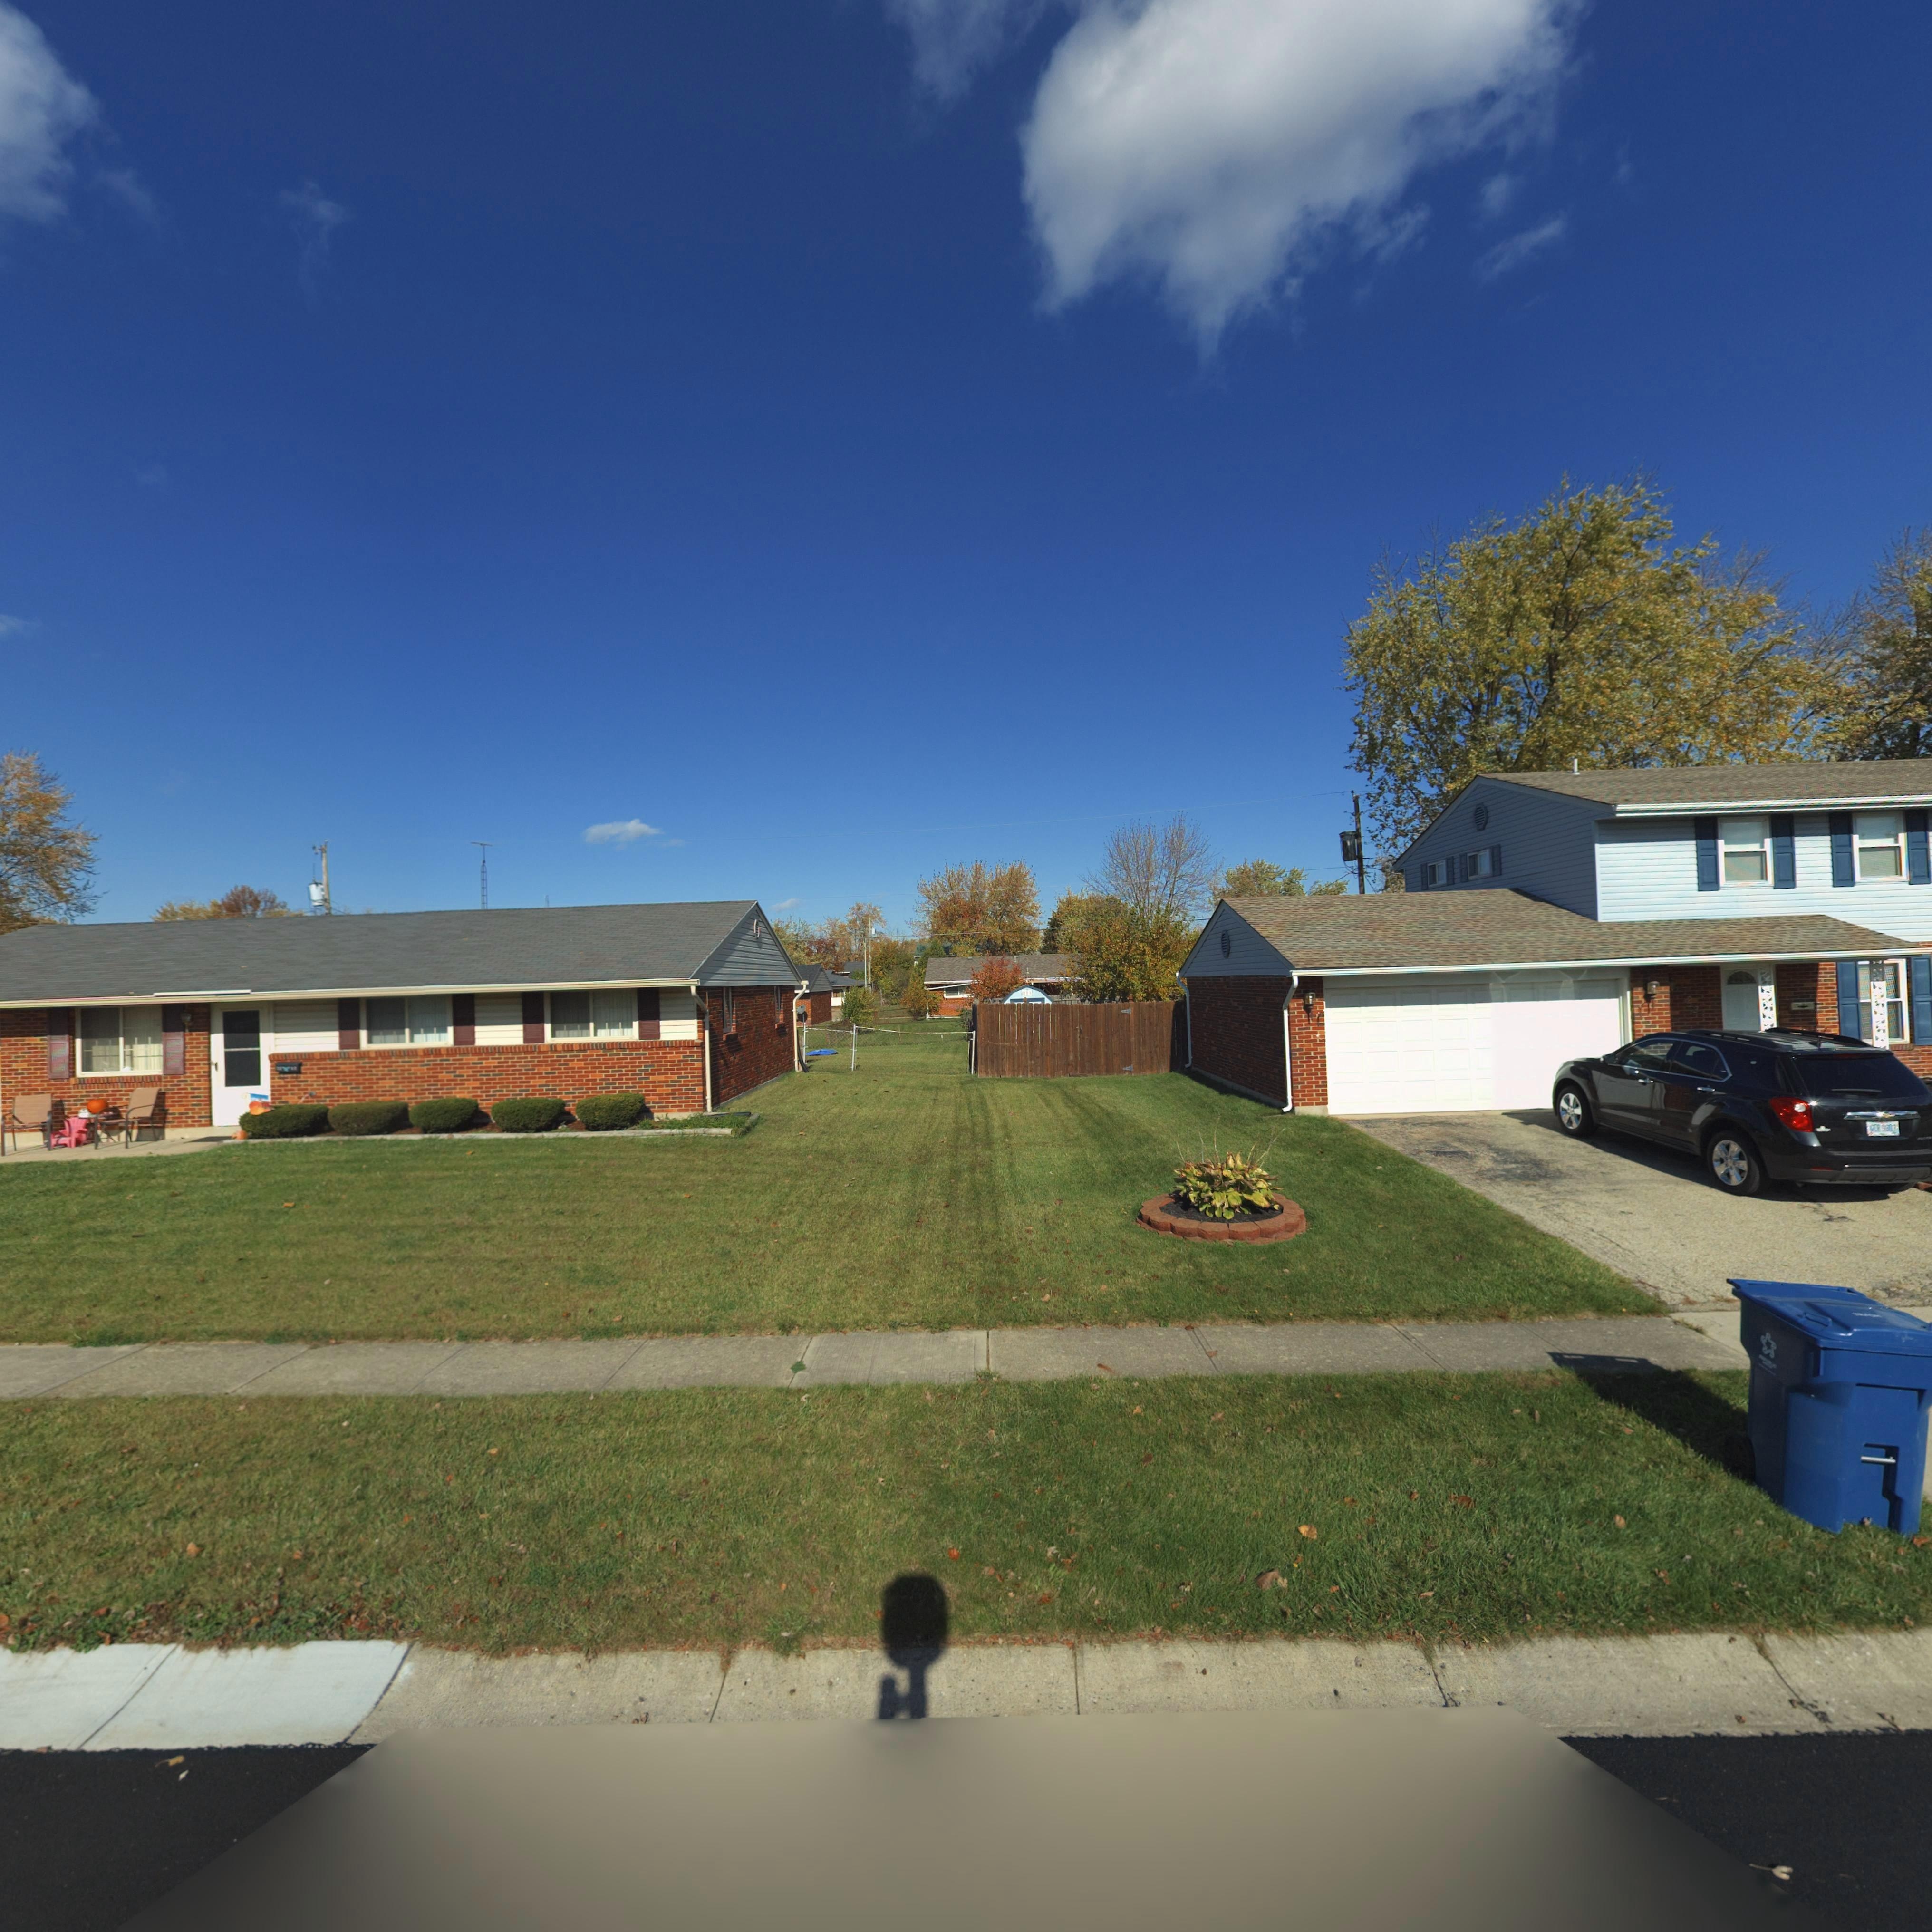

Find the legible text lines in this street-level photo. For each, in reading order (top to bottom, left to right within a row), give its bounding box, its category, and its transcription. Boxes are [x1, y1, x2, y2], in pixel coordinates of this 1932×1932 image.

[1685, 995, 1706, 1023] StreetNumber: 2**